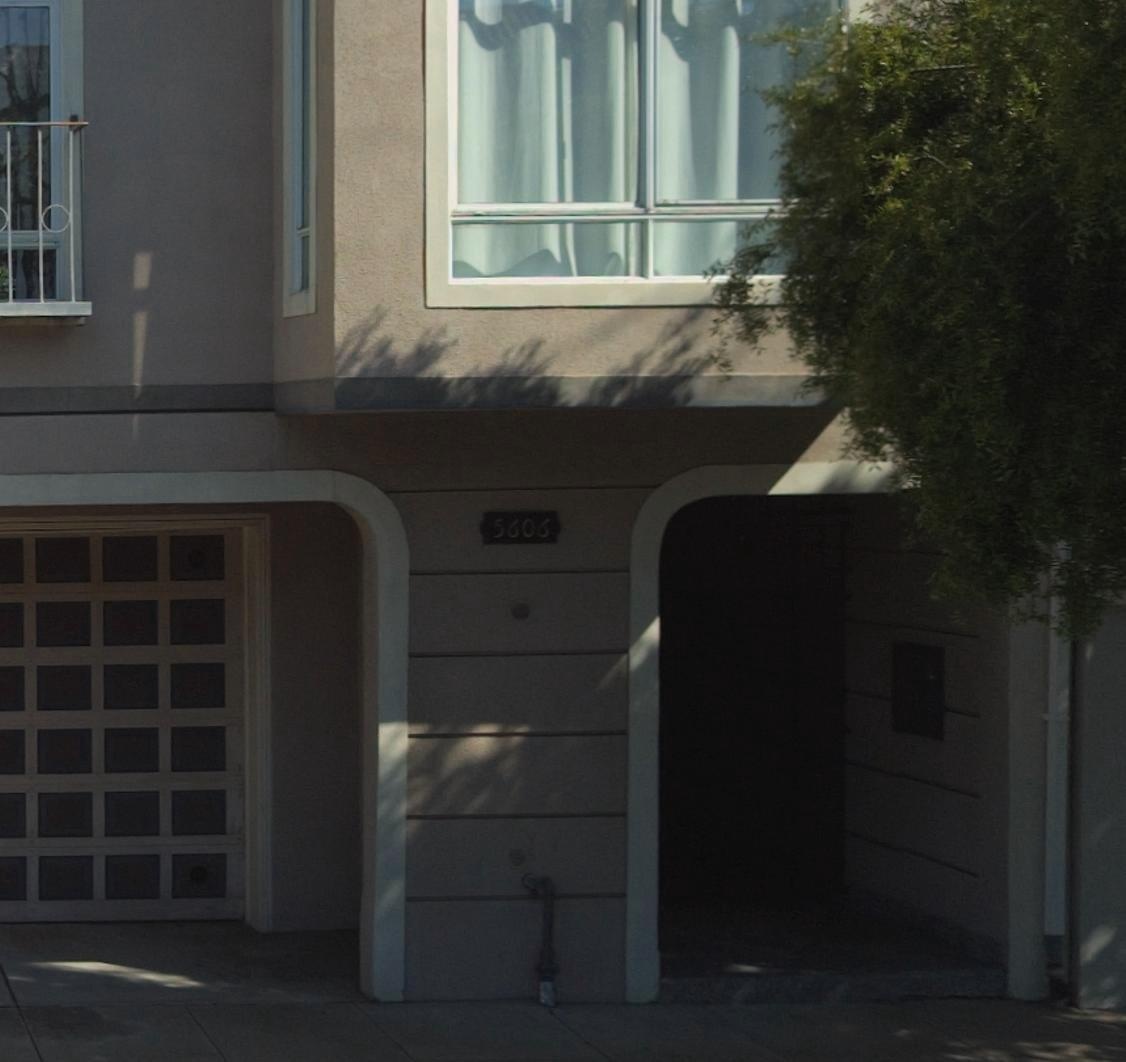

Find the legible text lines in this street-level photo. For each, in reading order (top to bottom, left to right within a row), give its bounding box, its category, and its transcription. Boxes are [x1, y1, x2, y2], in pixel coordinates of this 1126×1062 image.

[489, 516, 553, 542] StreetNumber: 5606